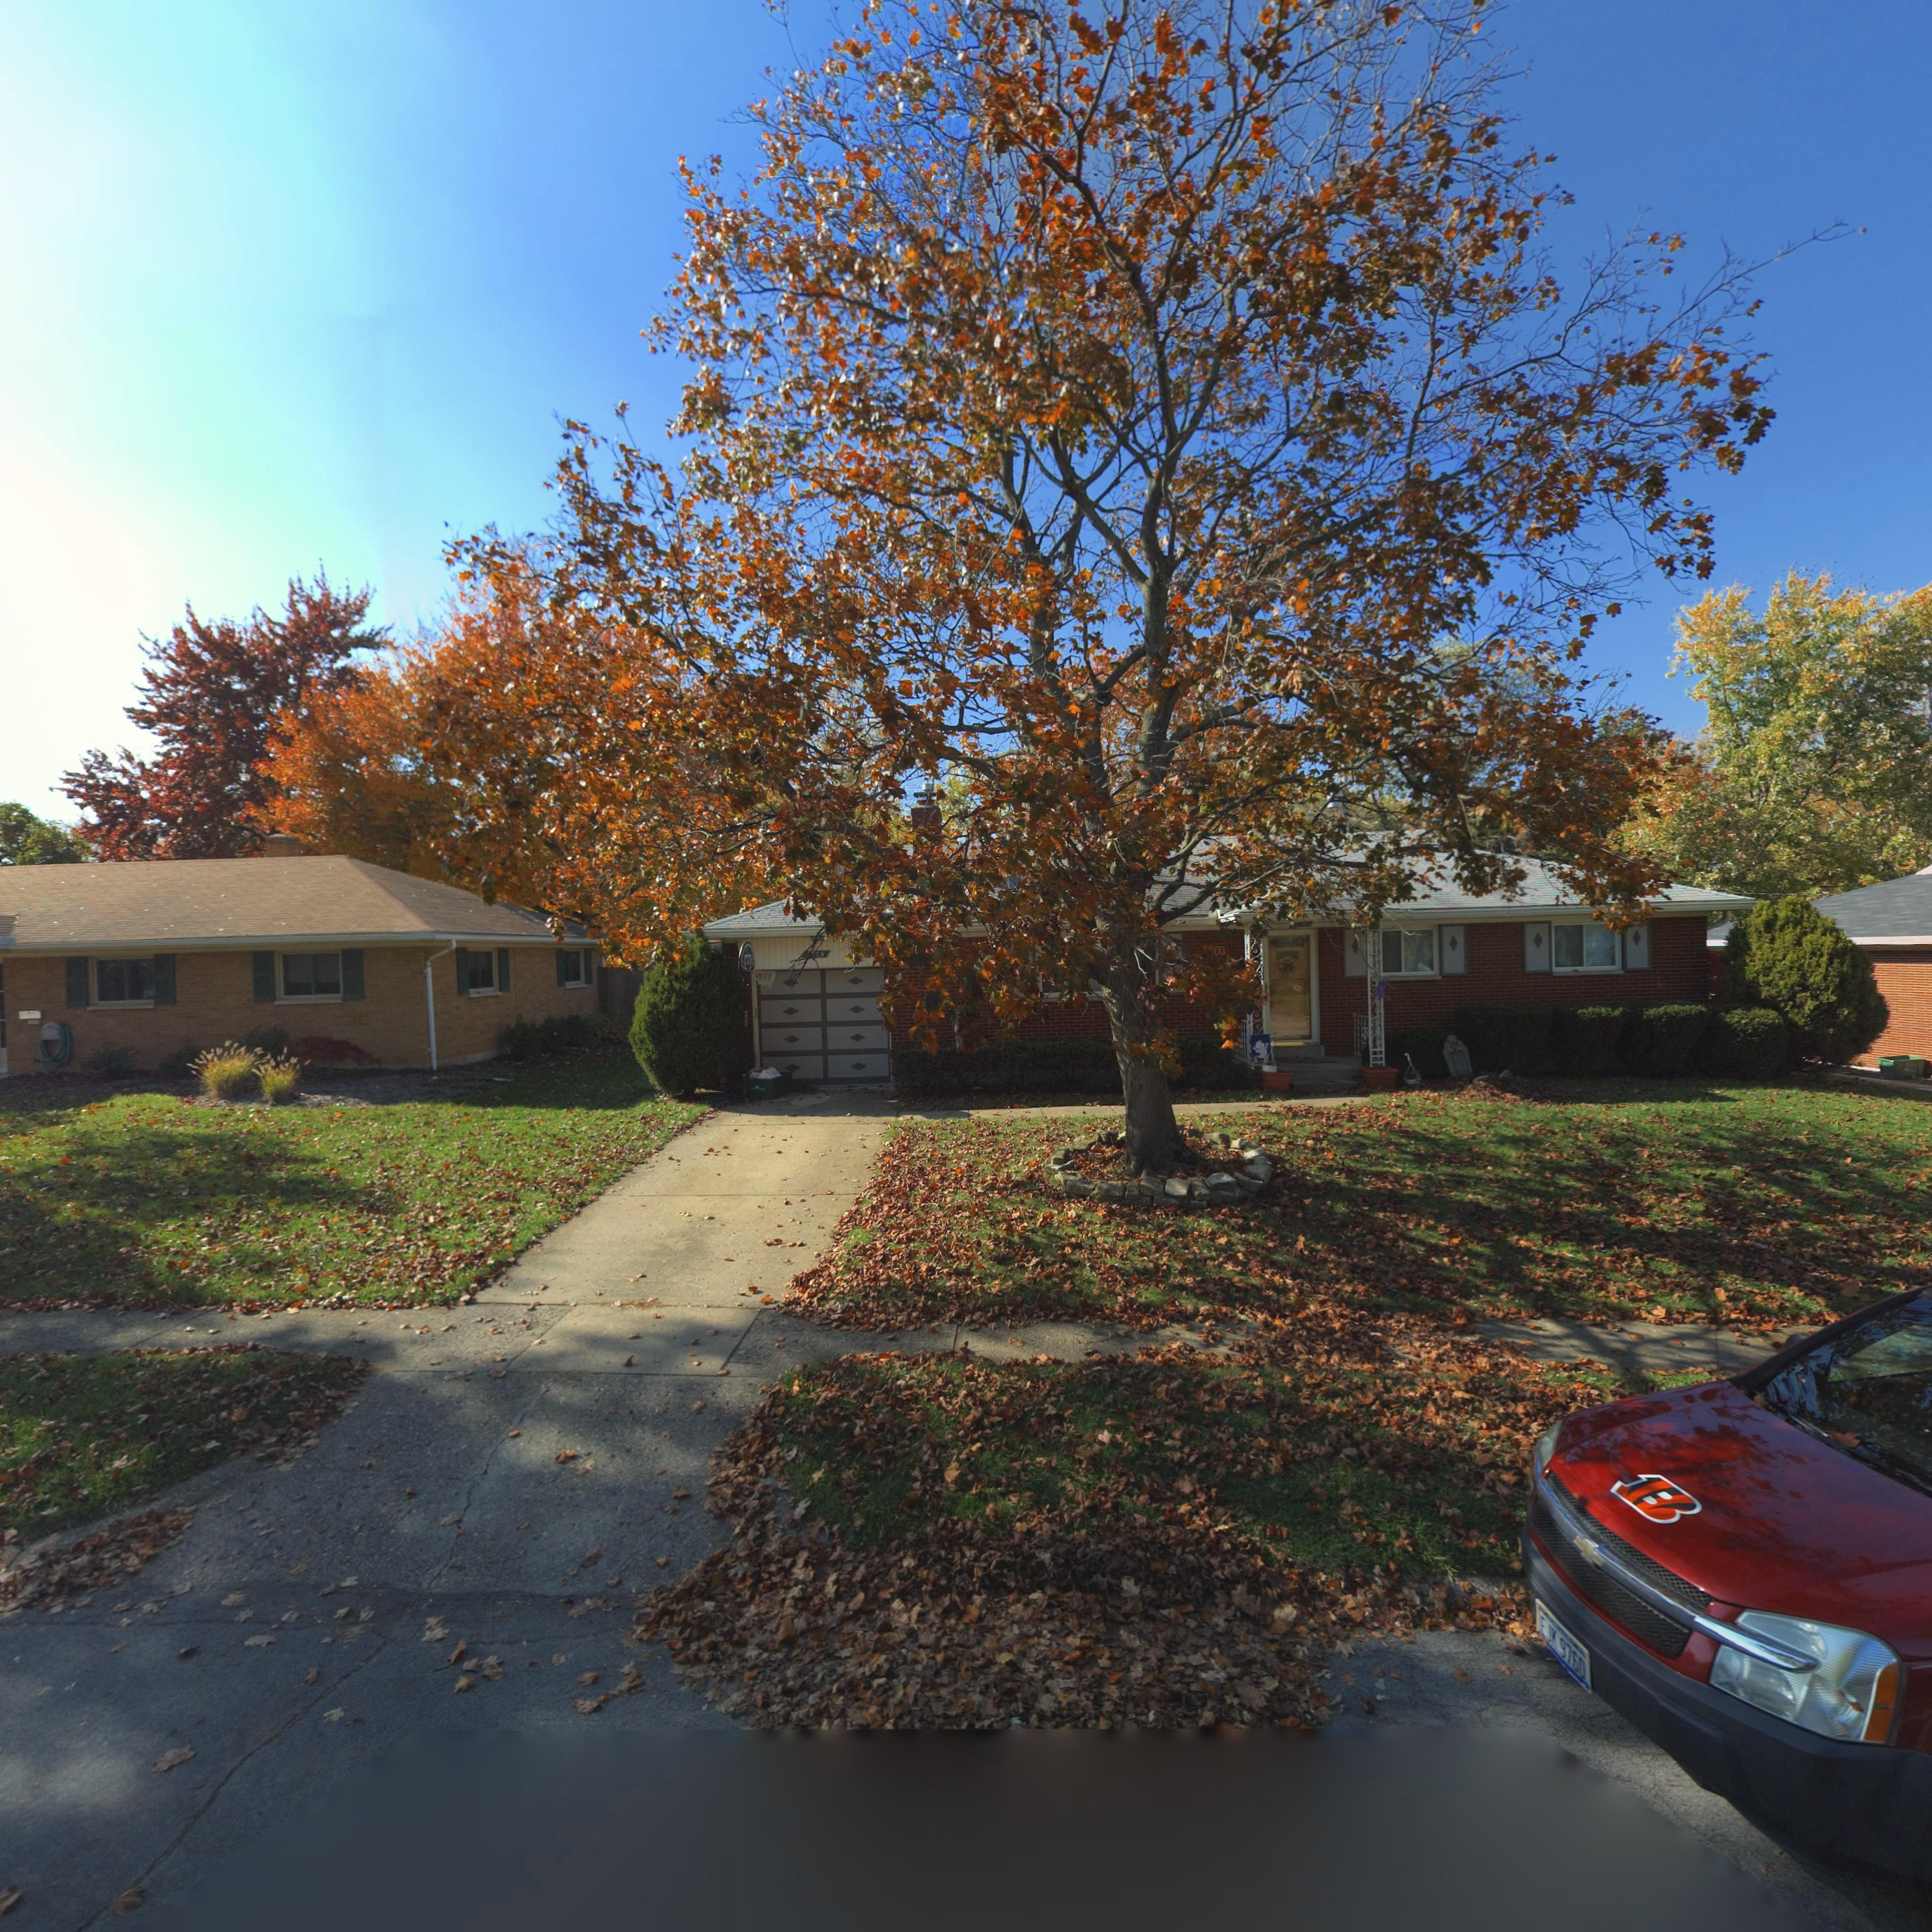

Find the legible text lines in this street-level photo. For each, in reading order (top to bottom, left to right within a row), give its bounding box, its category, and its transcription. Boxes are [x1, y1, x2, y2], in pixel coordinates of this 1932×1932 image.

[814, 950, 825, 957] StreetNumber: 75
[1214, 946, 1226, 956] None: B
[1613, 1475, 1699, 1523] None: B
[1540, 1613, 1587, 1681] None: EJK 9760